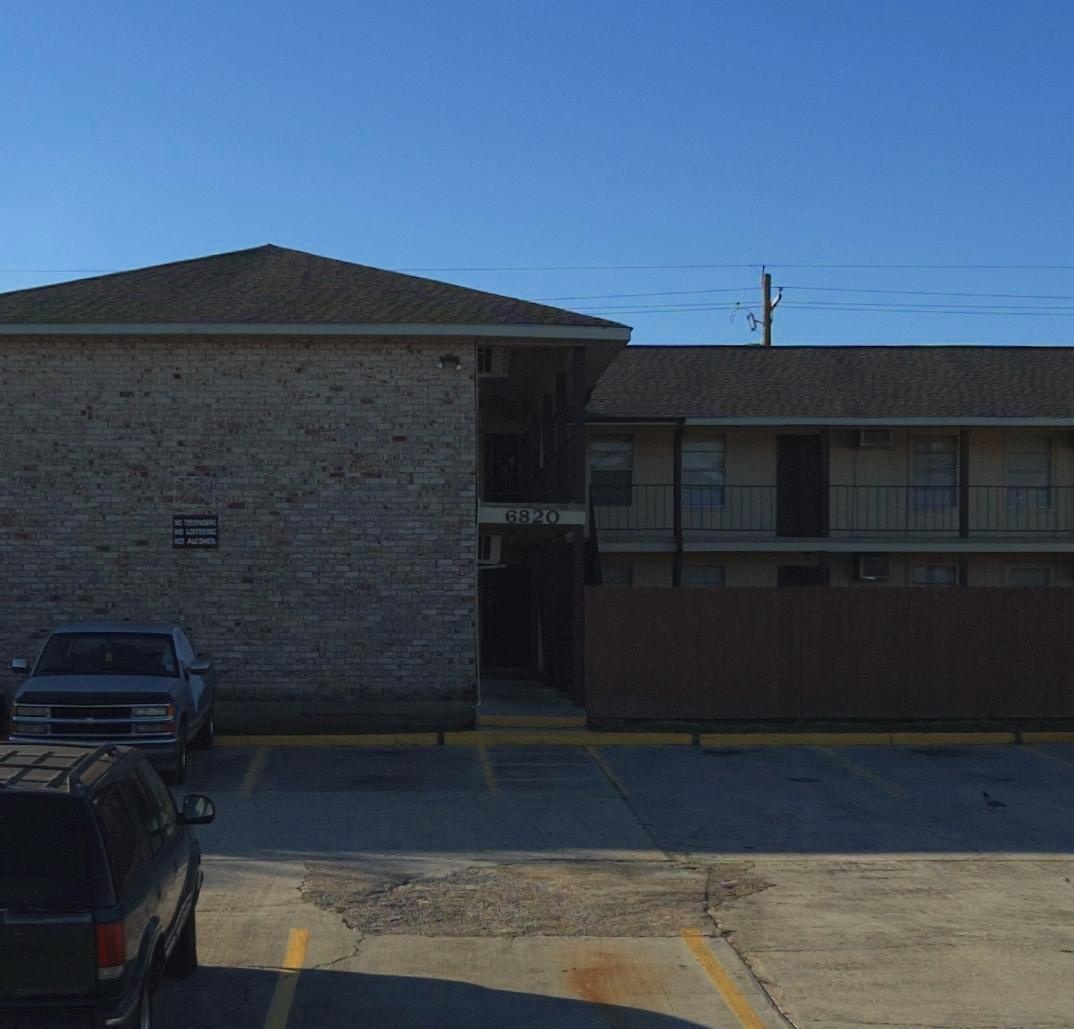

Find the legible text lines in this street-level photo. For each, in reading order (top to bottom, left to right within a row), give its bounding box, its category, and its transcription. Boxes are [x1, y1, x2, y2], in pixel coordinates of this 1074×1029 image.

[503, 506, 562, 526] StreetNumber: 6820